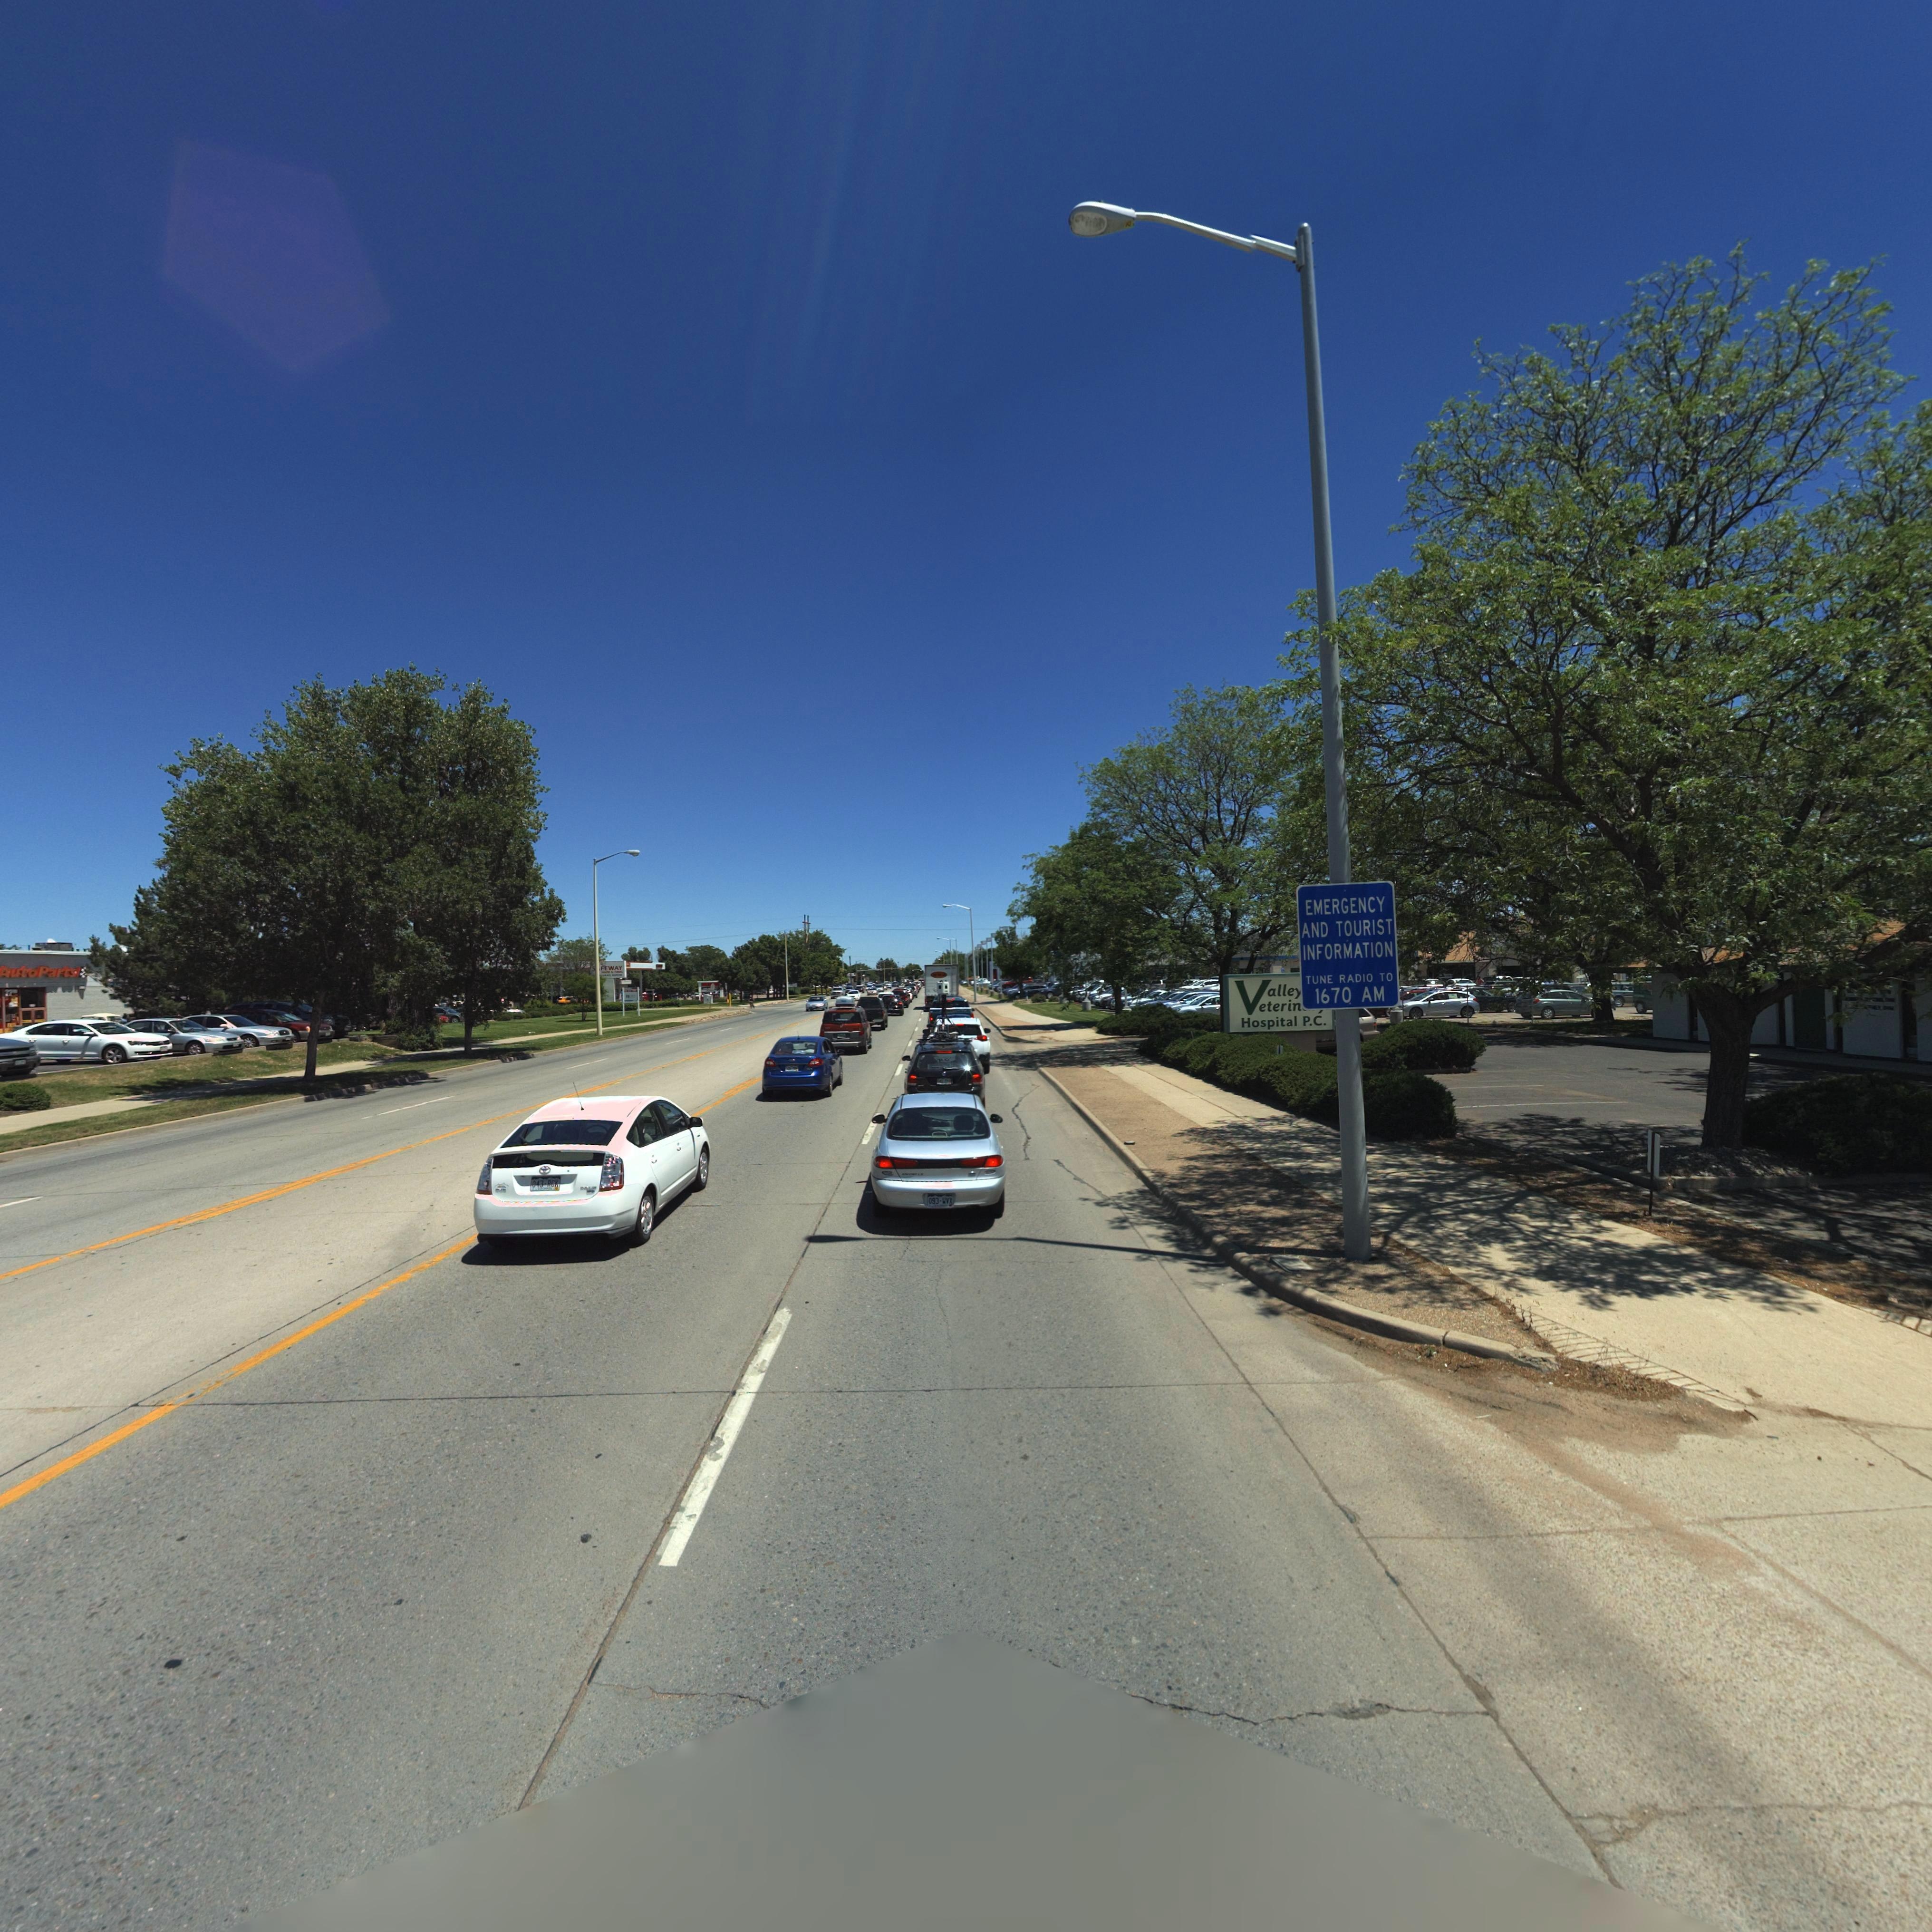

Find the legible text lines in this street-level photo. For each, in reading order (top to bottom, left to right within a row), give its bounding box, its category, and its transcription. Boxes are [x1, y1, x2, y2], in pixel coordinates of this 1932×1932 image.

[9, 965, 81, 978] BusinessName: utoParts
[600, 965, 622, 970] BusinessName: FEWAY
[1234, 979, 1273, 1015] BusinessName: V
[1266, 983, 1301, 1000] BusinessName: alle*
[1258, 998, 1302, 1012] BusinessName: eterin
[1241, 1015, 1323, 1030] BusinessName: Hospital P.C